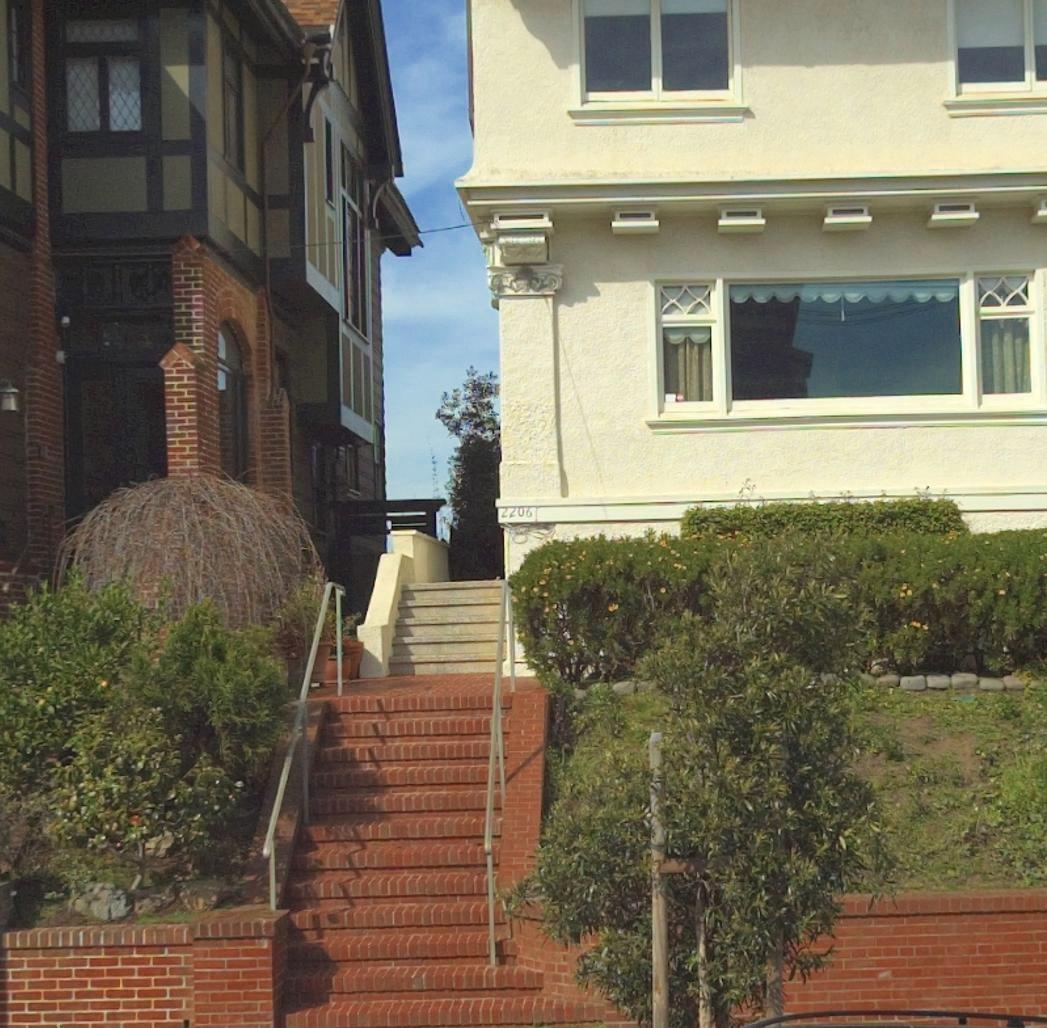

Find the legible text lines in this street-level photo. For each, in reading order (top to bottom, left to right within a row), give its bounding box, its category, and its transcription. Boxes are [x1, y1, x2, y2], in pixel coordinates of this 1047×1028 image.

[500, 505, 534, 520] StreetNumber: 2206